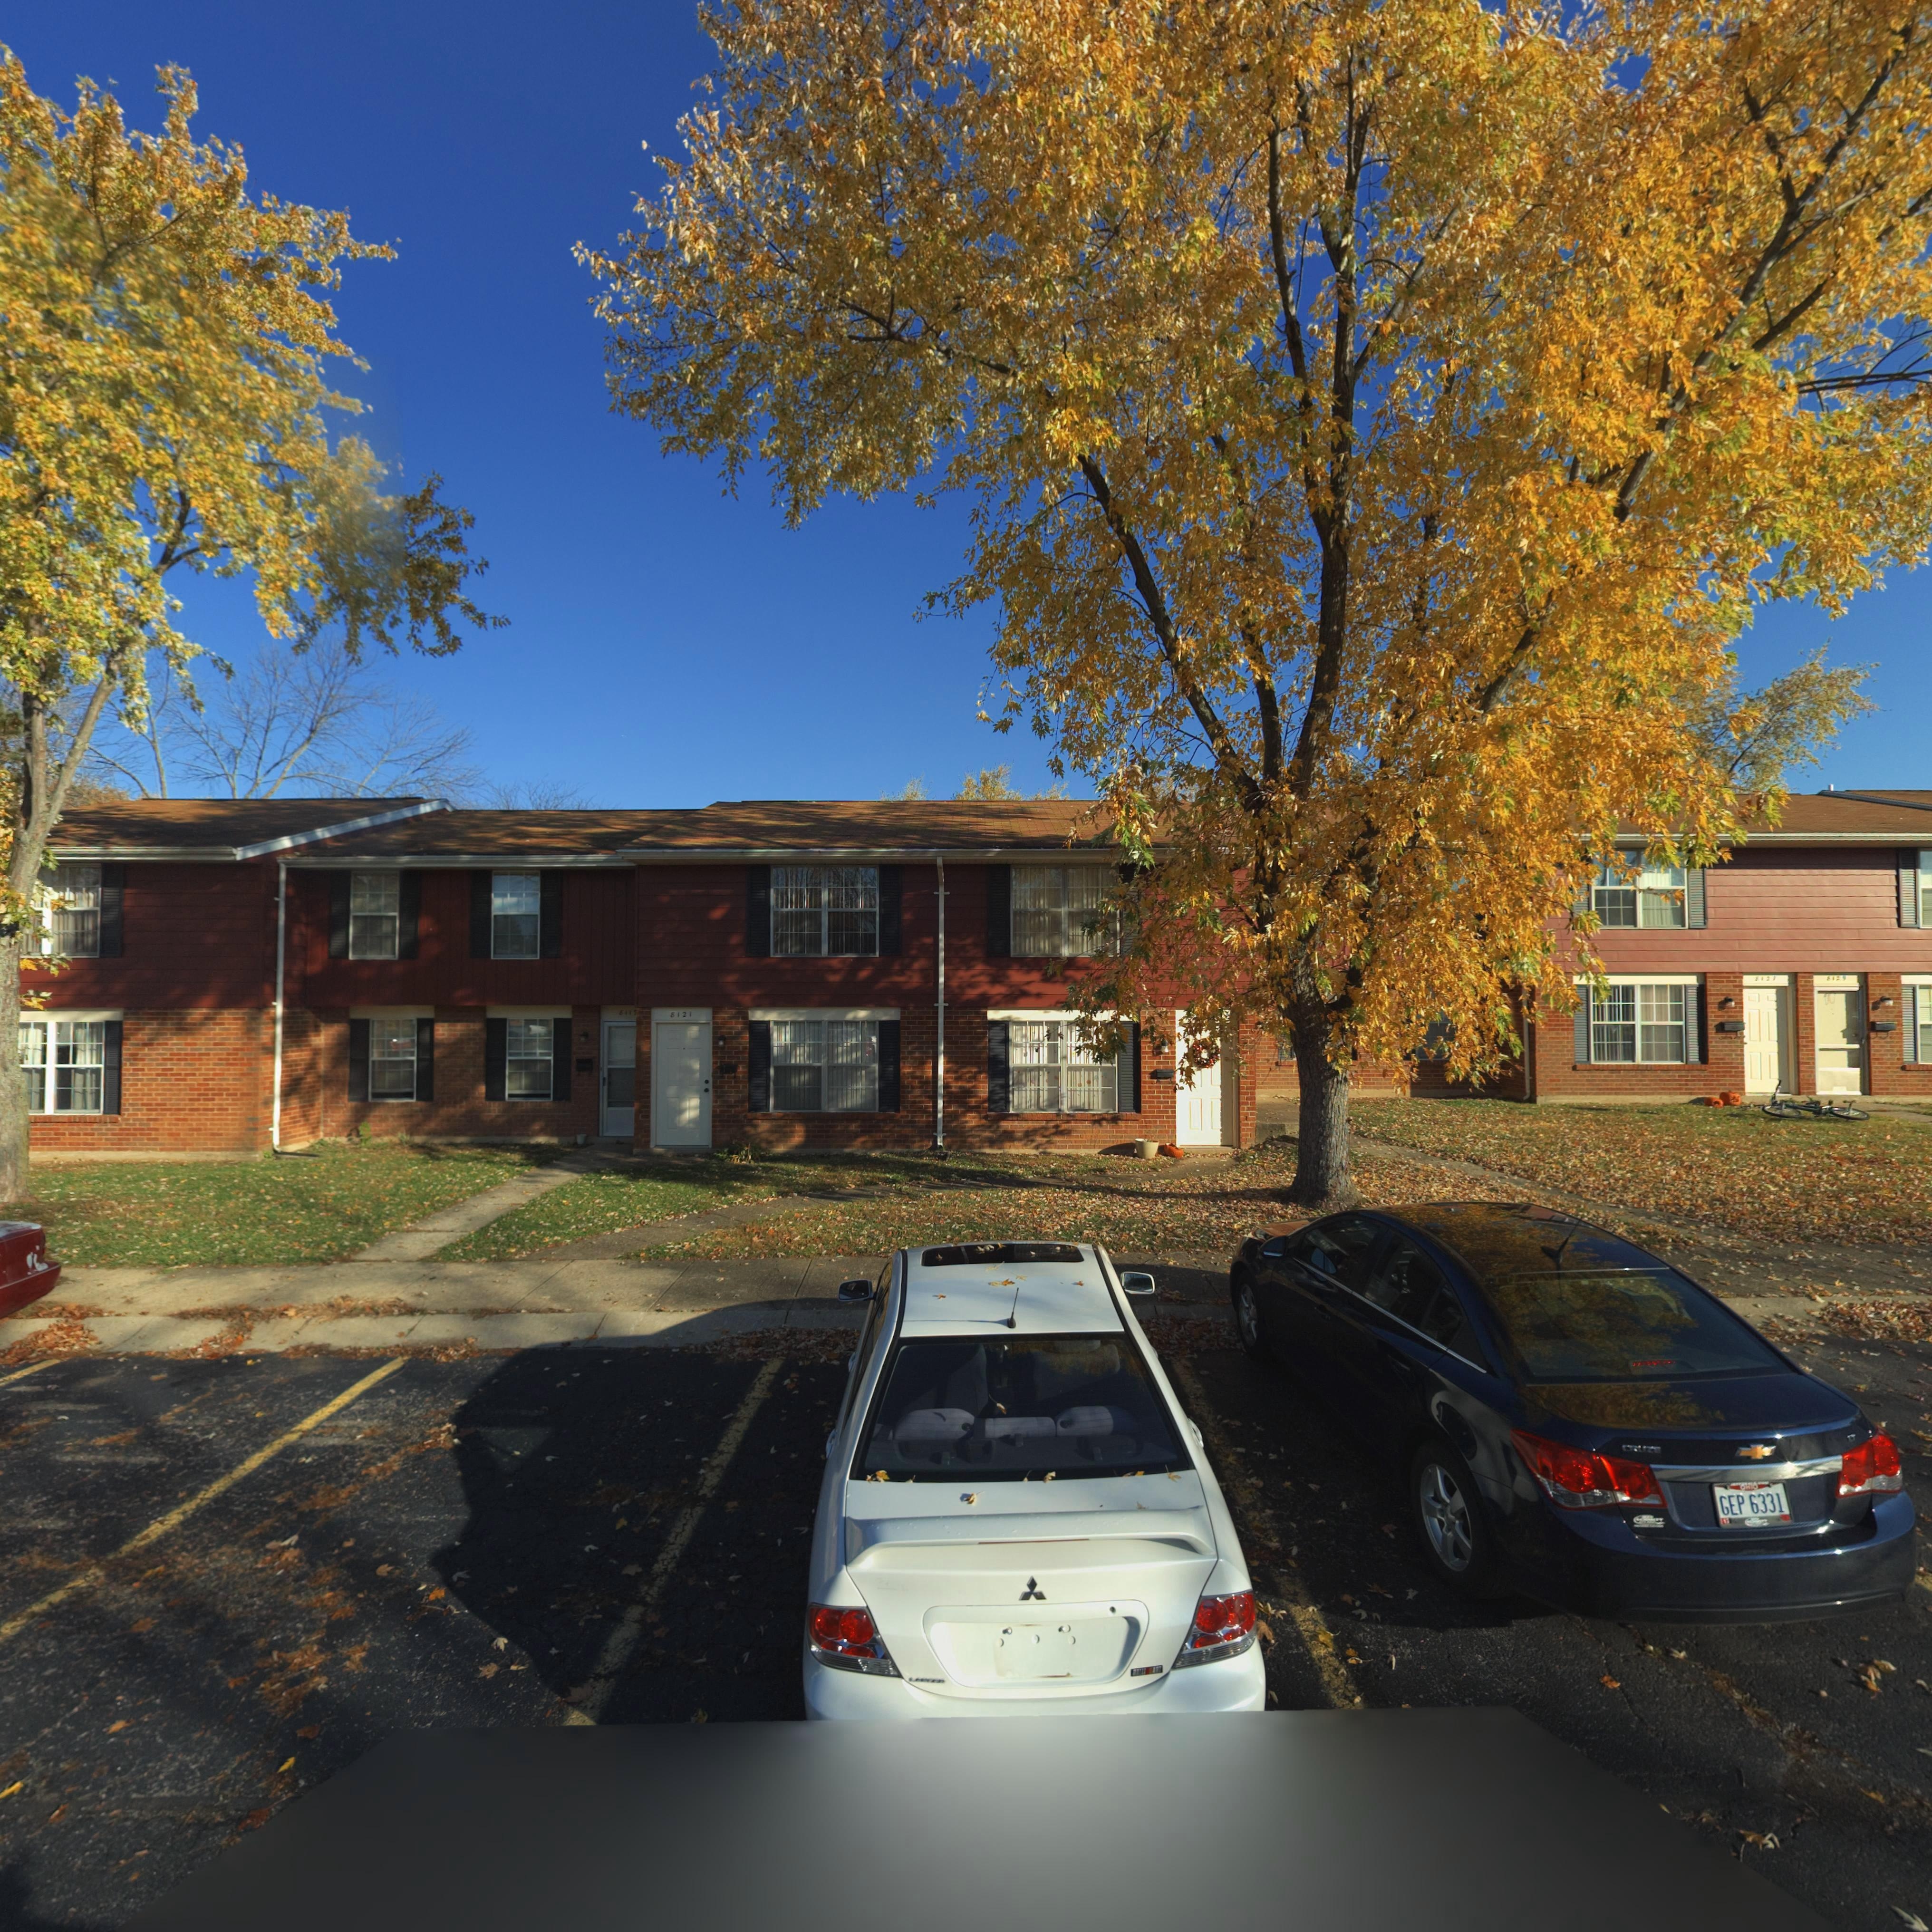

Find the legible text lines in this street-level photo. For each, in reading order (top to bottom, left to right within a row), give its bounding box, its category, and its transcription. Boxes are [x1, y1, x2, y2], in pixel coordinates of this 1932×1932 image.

[1754, 974, 1777, 983] StreetNumber: *12*
[1826, 973, 1847, 982] StreetNumber: *12*
[618, 1008, 638, 1017] StreetNumber: 811*
[669, 1009, 693, 1019] StreetNumber: 8121